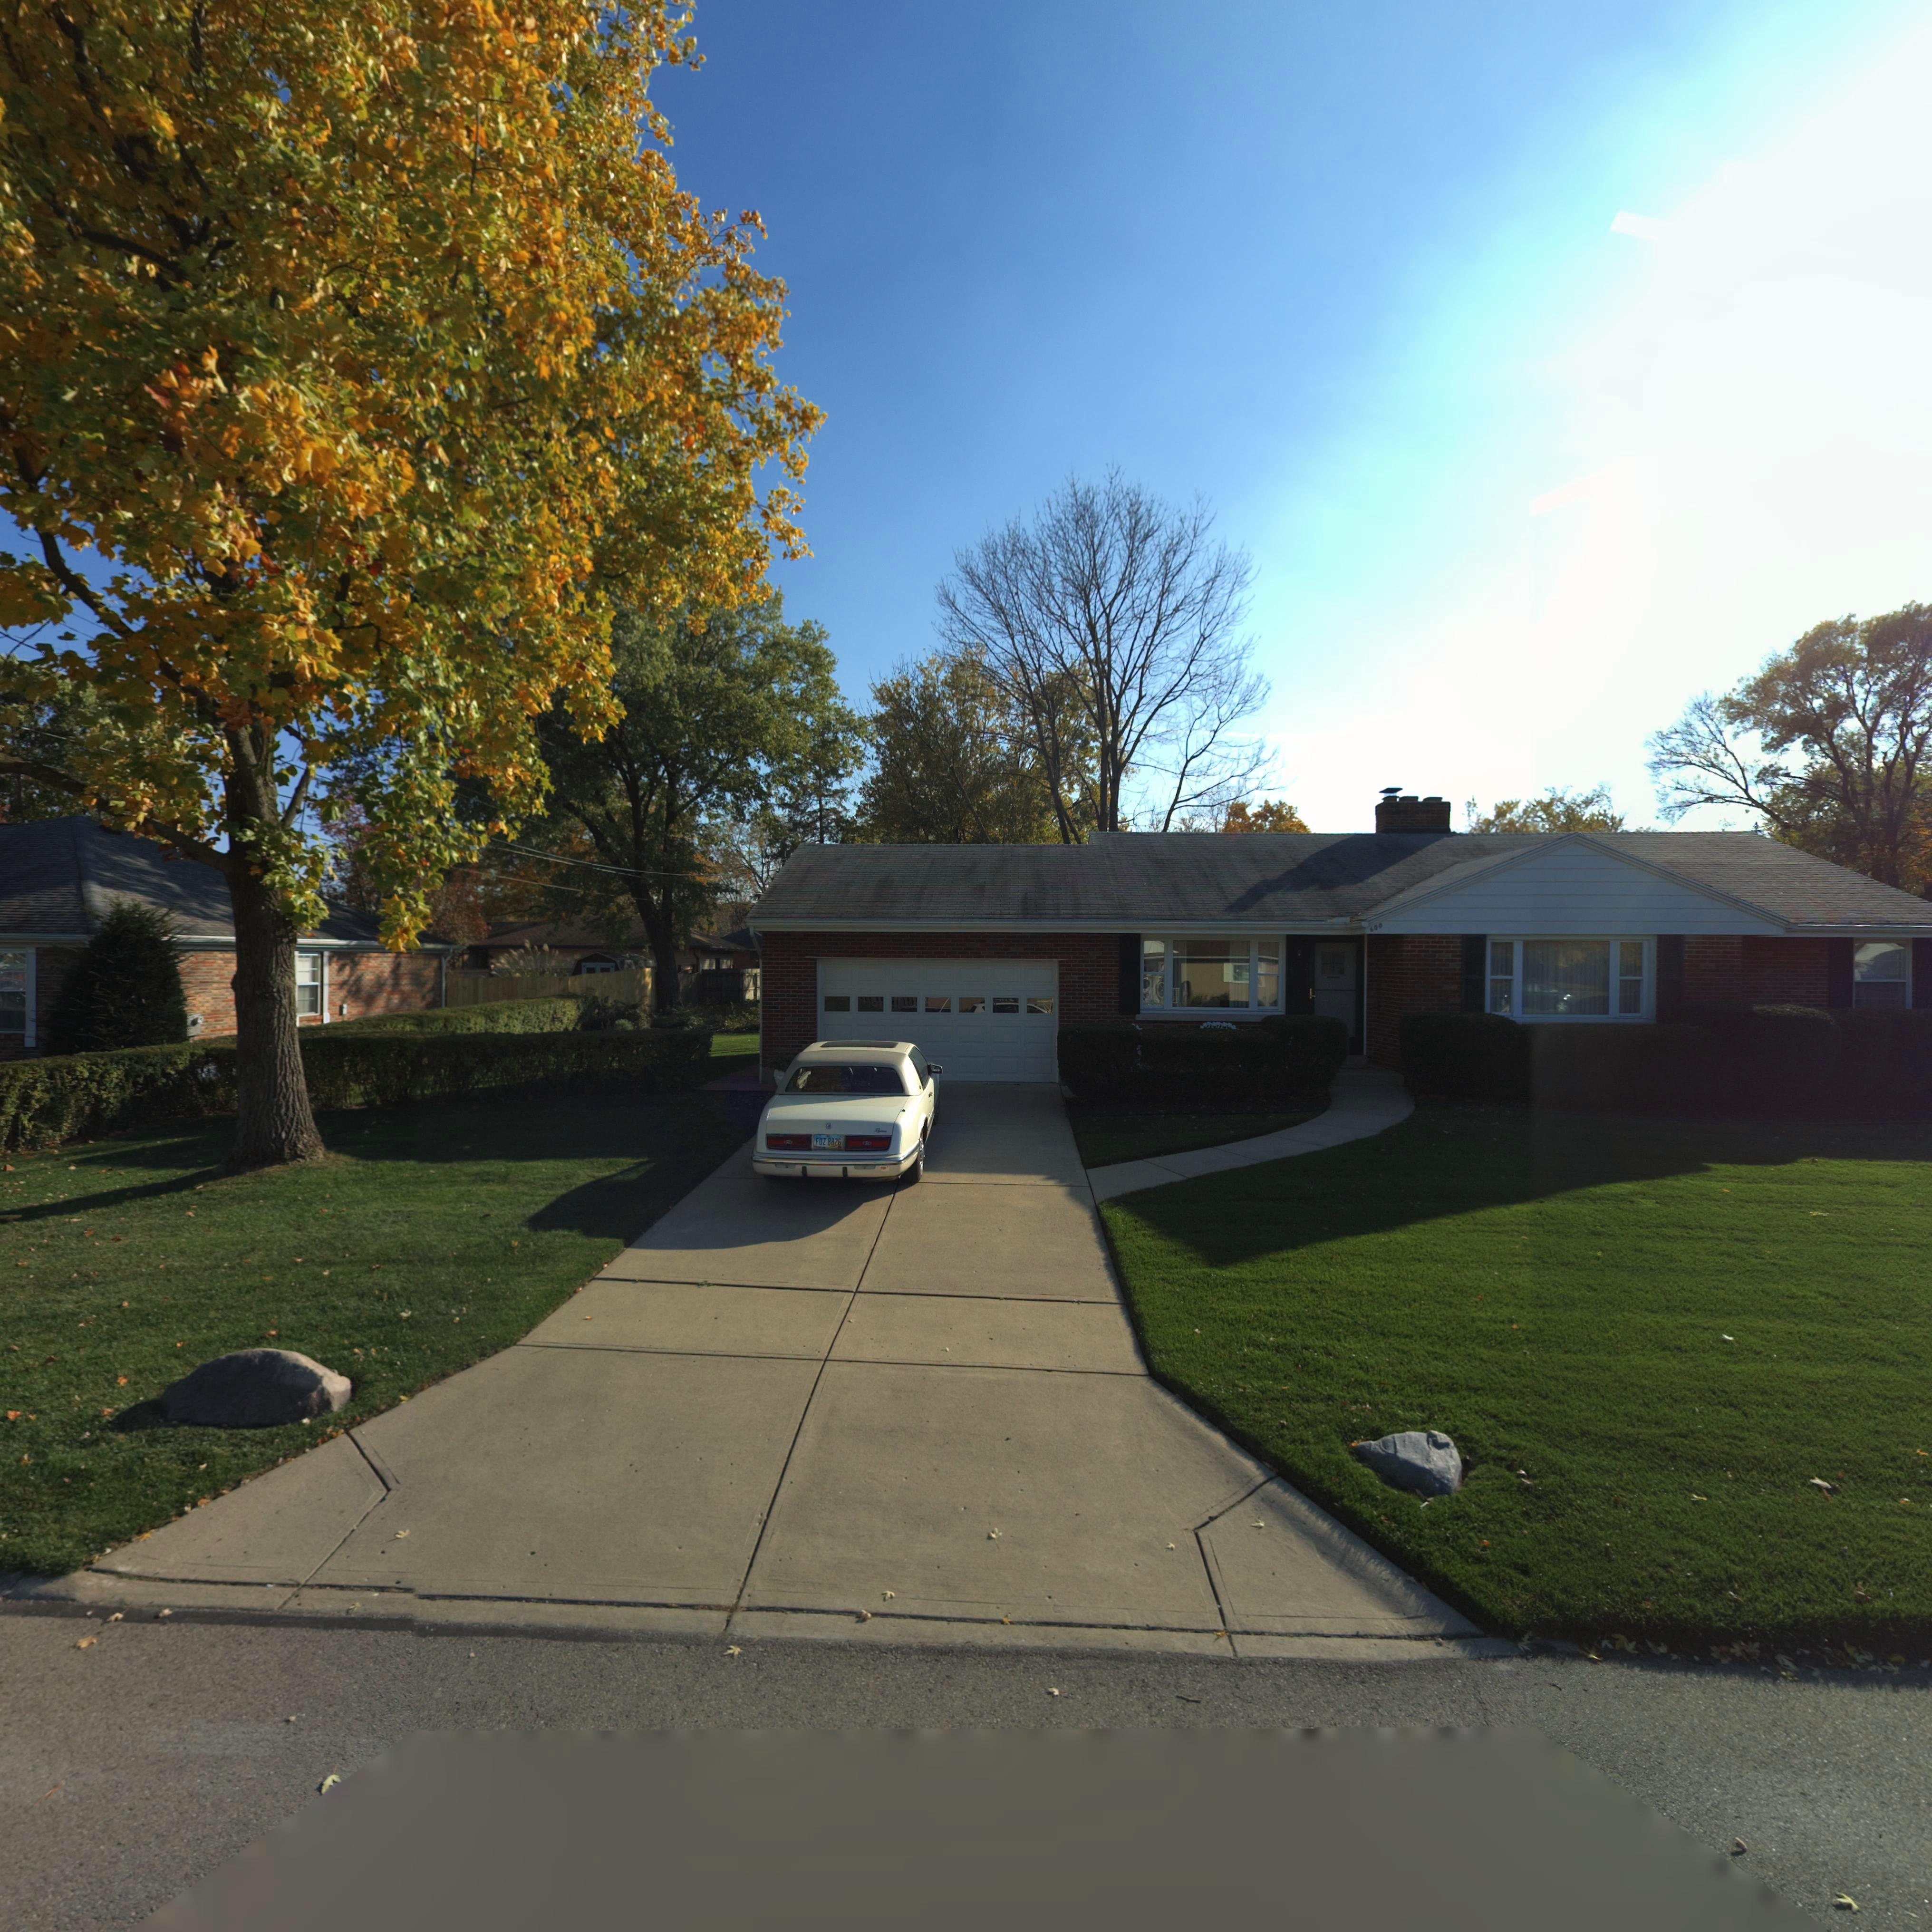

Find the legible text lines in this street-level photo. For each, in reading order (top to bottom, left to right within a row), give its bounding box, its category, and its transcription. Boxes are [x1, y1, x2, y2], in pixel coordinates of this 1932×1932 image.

[1369, 921, 1383, 934] StreetNumber: 600